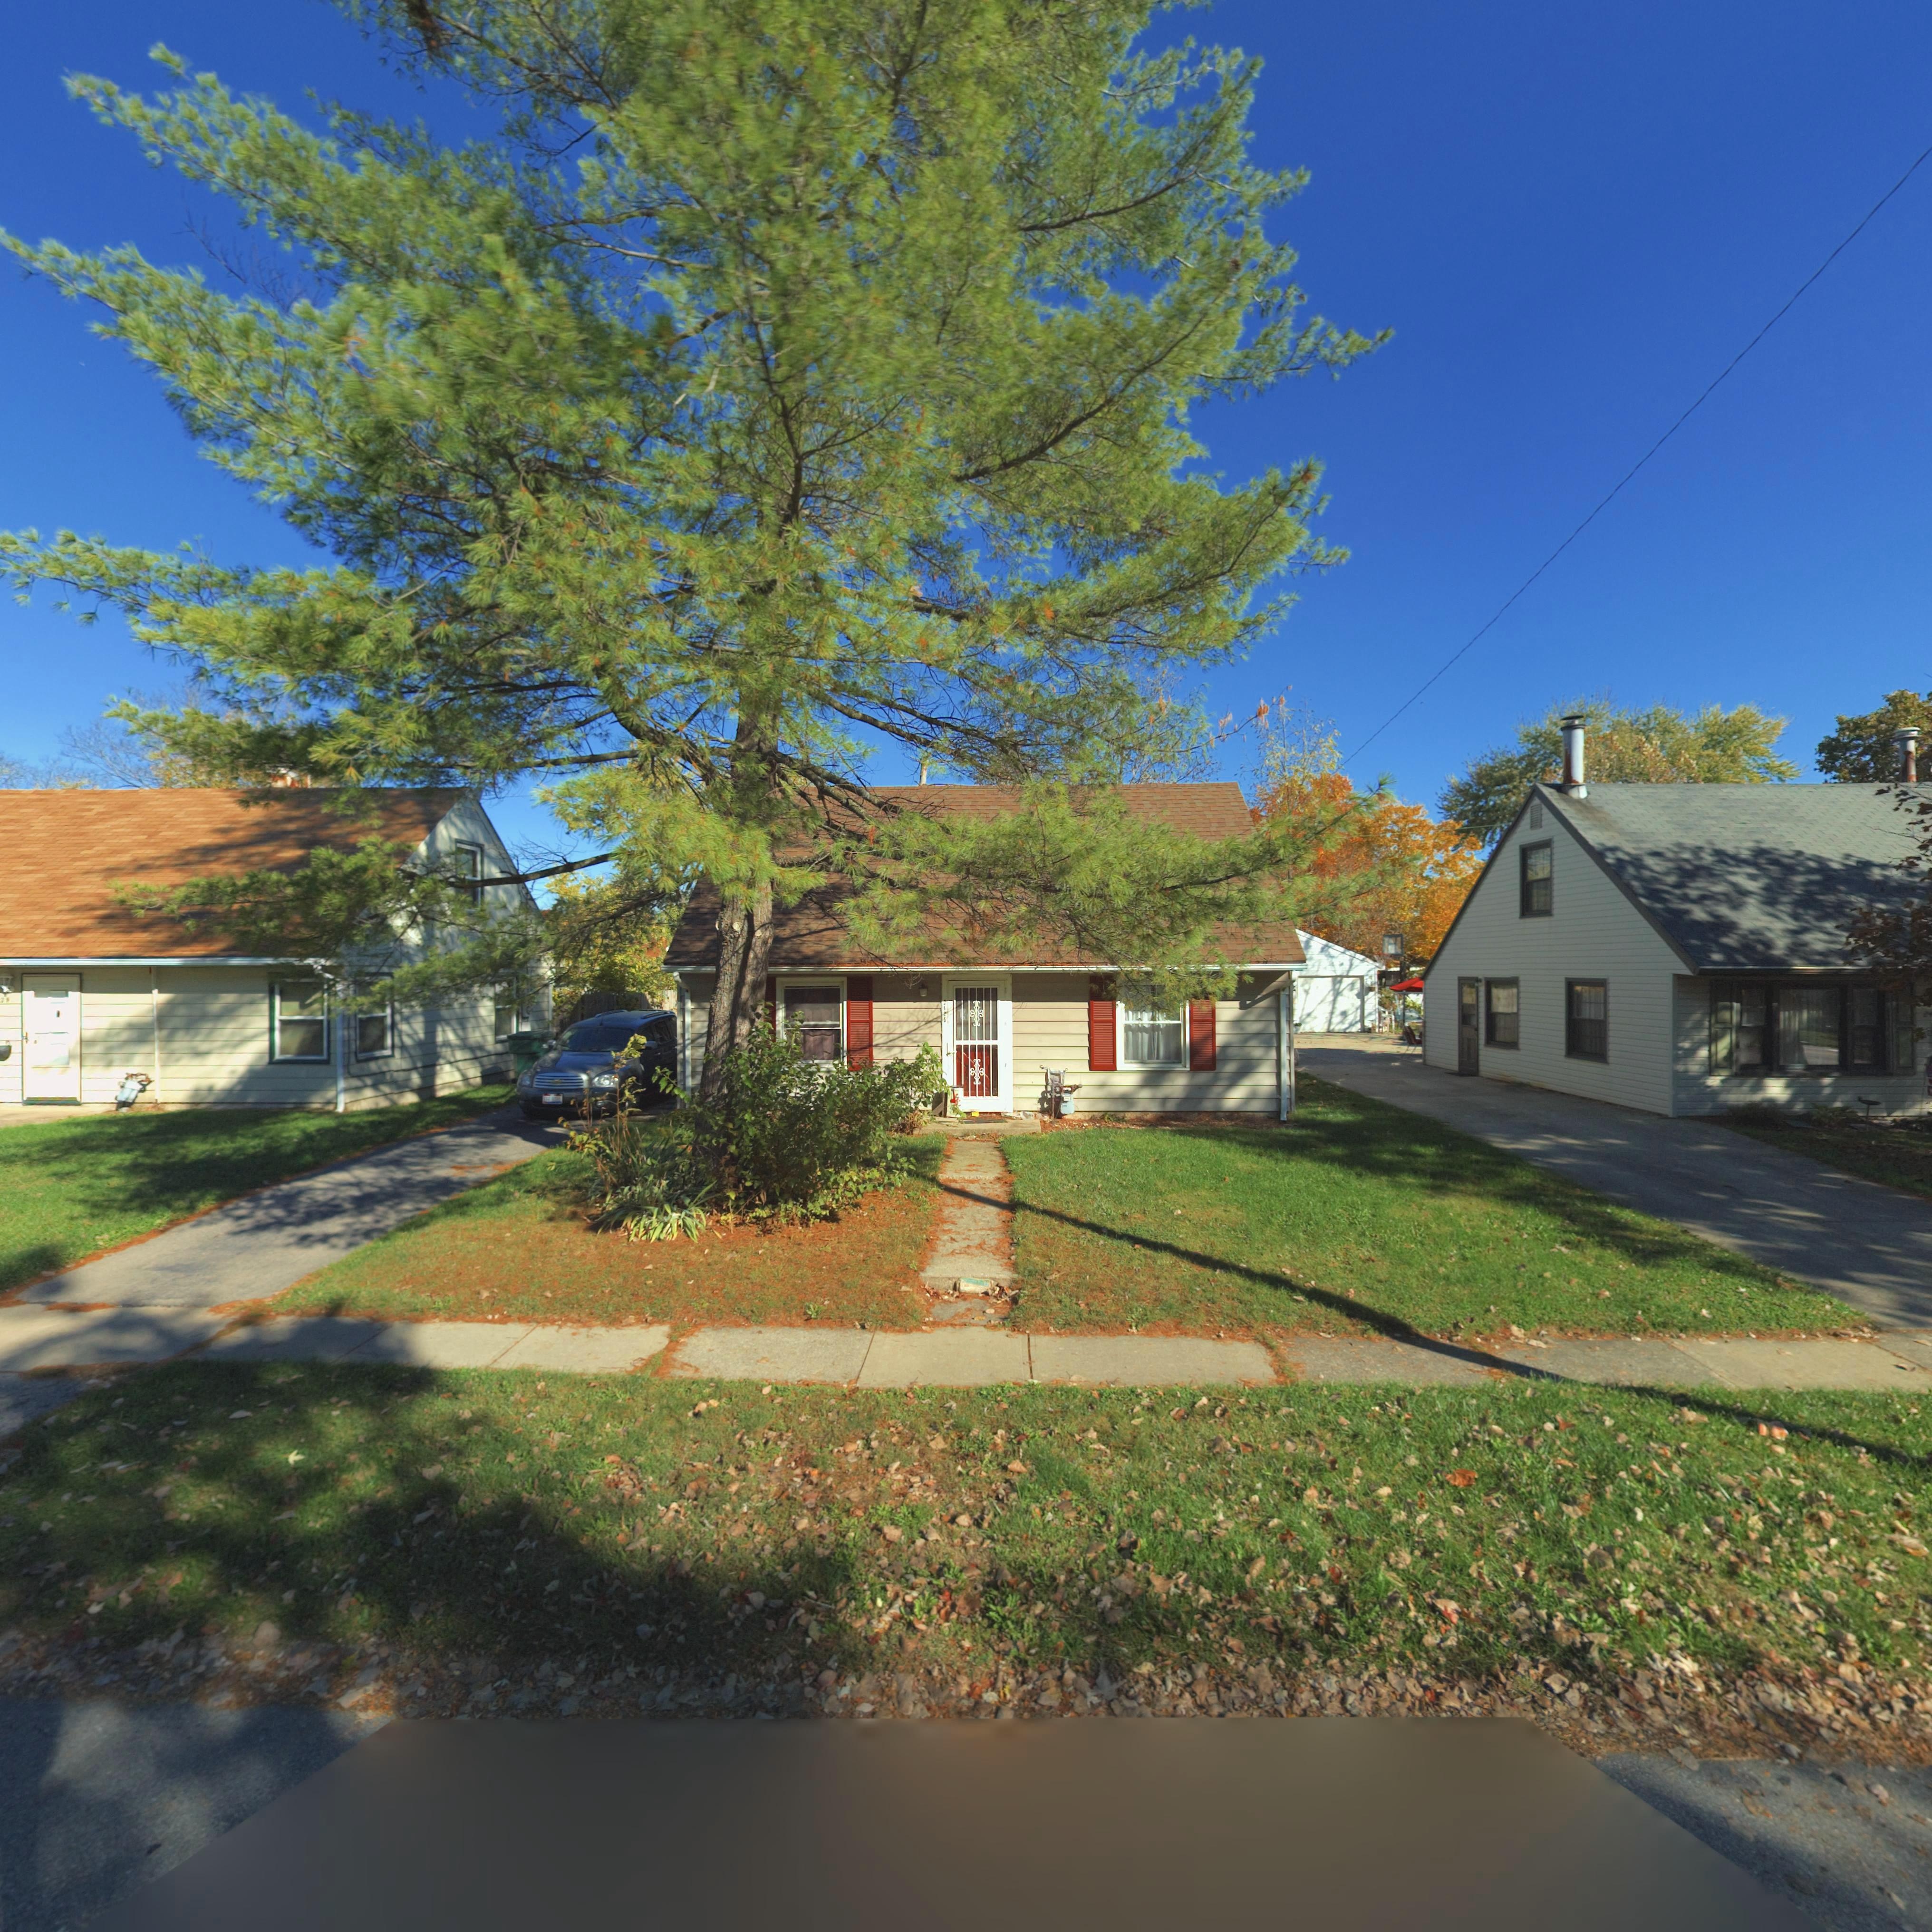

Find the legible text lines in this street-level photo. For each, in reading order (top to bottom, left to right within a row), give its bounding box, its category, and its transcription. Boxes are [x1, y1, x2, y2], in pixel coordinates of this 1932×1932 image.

[0, 996, 10, 1004] StreetNumber: 2*
[943, 999, 947, 1023] StreetNumber: 2425